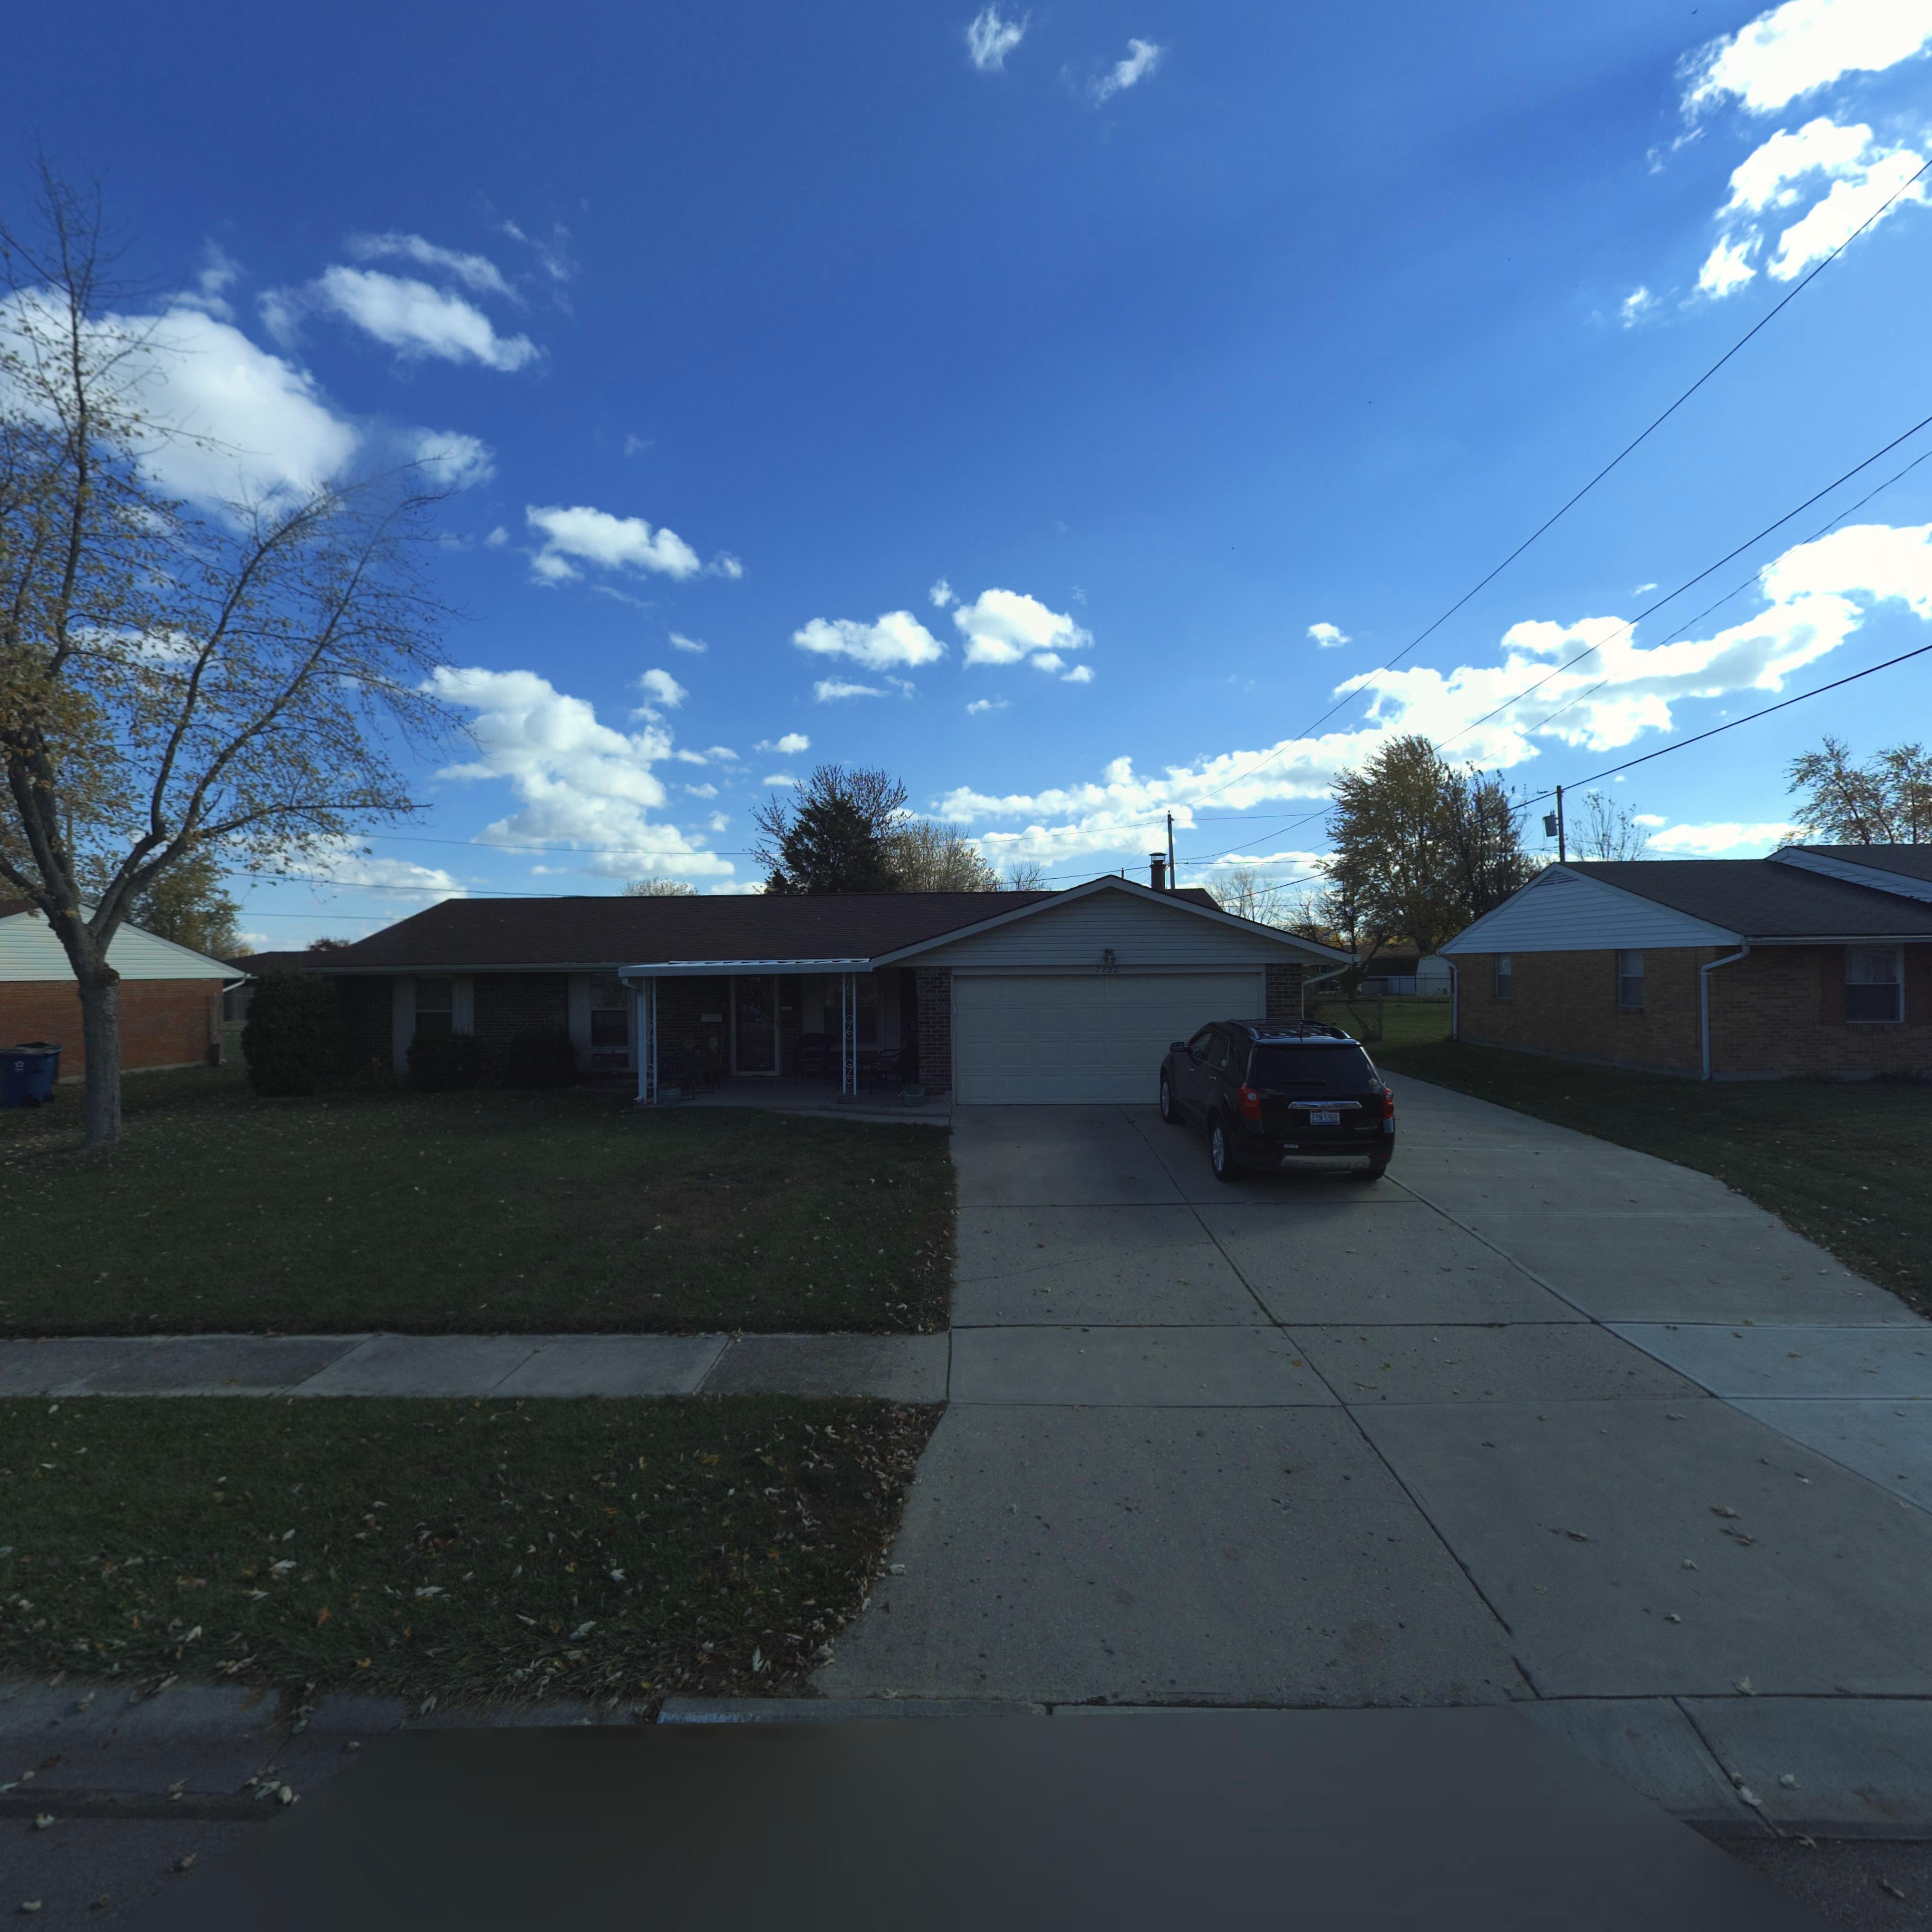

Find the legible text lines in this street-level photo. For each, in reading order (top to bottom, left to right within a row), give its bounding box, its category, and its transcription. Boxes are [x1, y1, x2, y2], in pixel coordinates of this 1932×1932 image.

[1095, 965, 1119, 974] StreetNumber: 7732